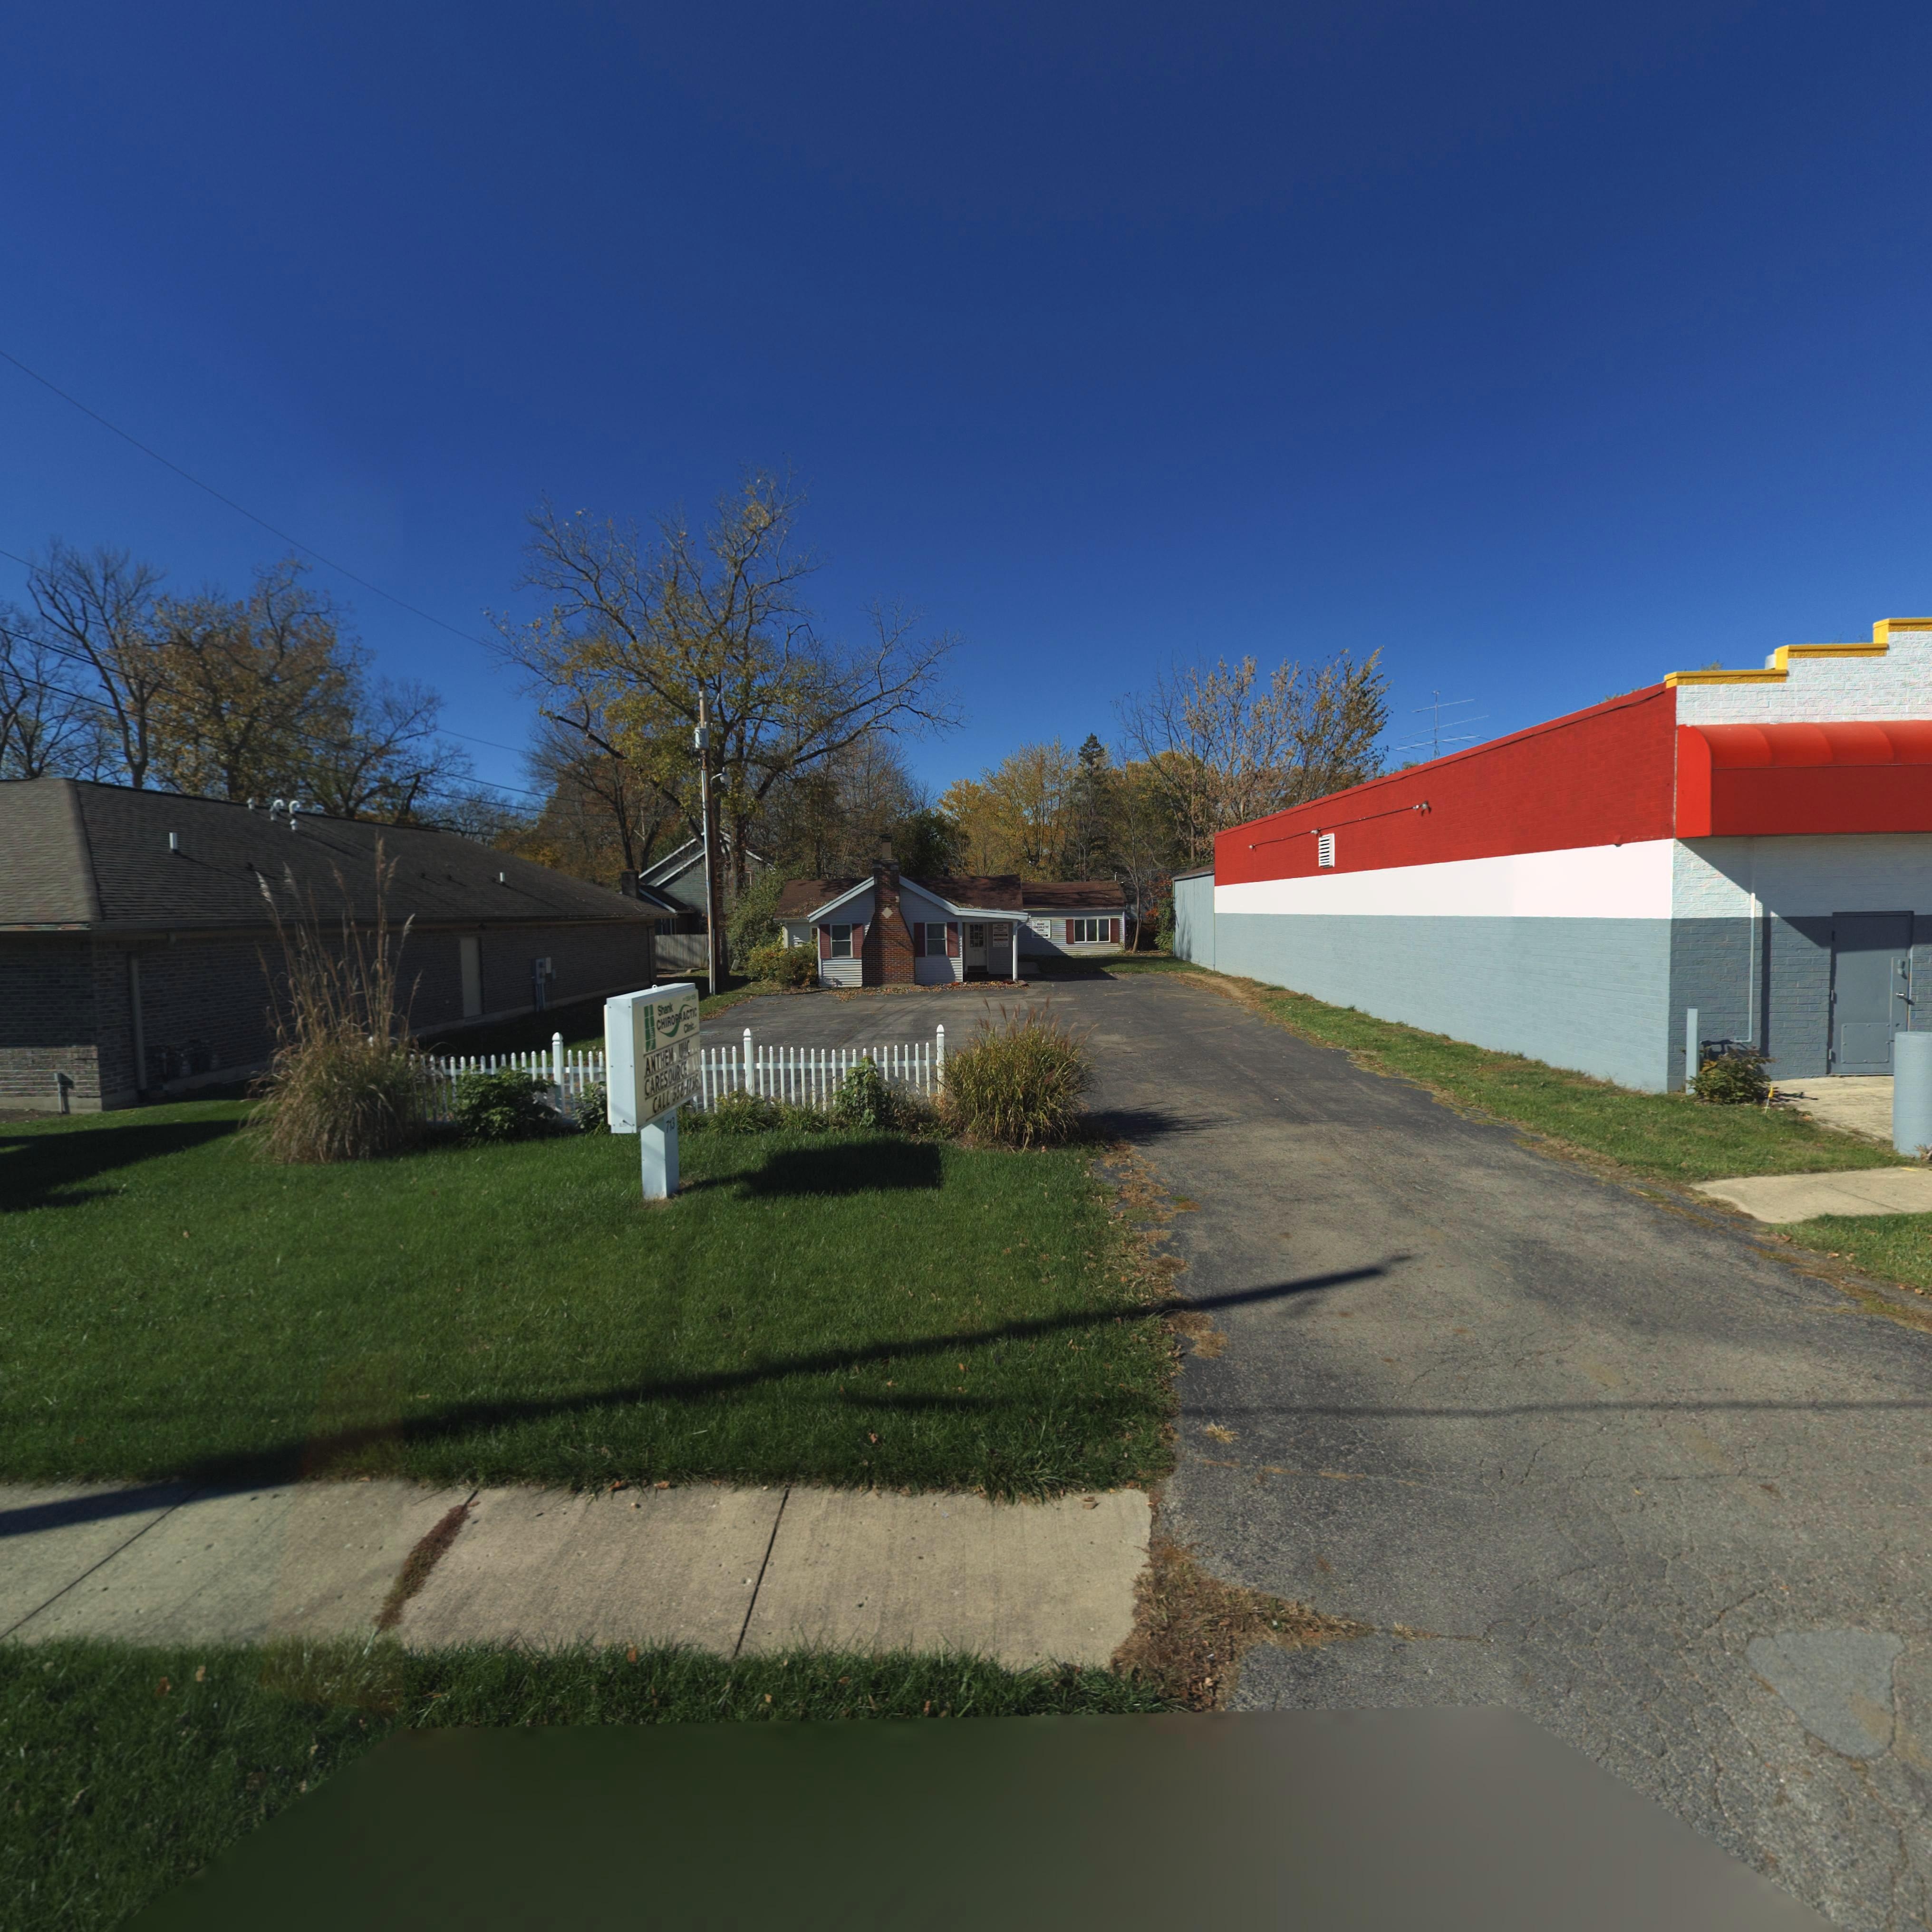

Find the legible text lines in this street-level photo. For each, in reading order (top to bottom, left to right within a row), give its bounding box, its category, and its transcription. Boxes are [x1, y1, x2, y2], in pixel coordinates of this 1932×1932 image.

[657, 1001, 674, 1017] BusinessName: Shank
[656, 1005, 698, 1032] BusinessName: CHIROPRACTIC
[682, 1021, 695, 1035] BusinessName: Clinic
[665, 1115, 676, 1135] StreetNumber: 713